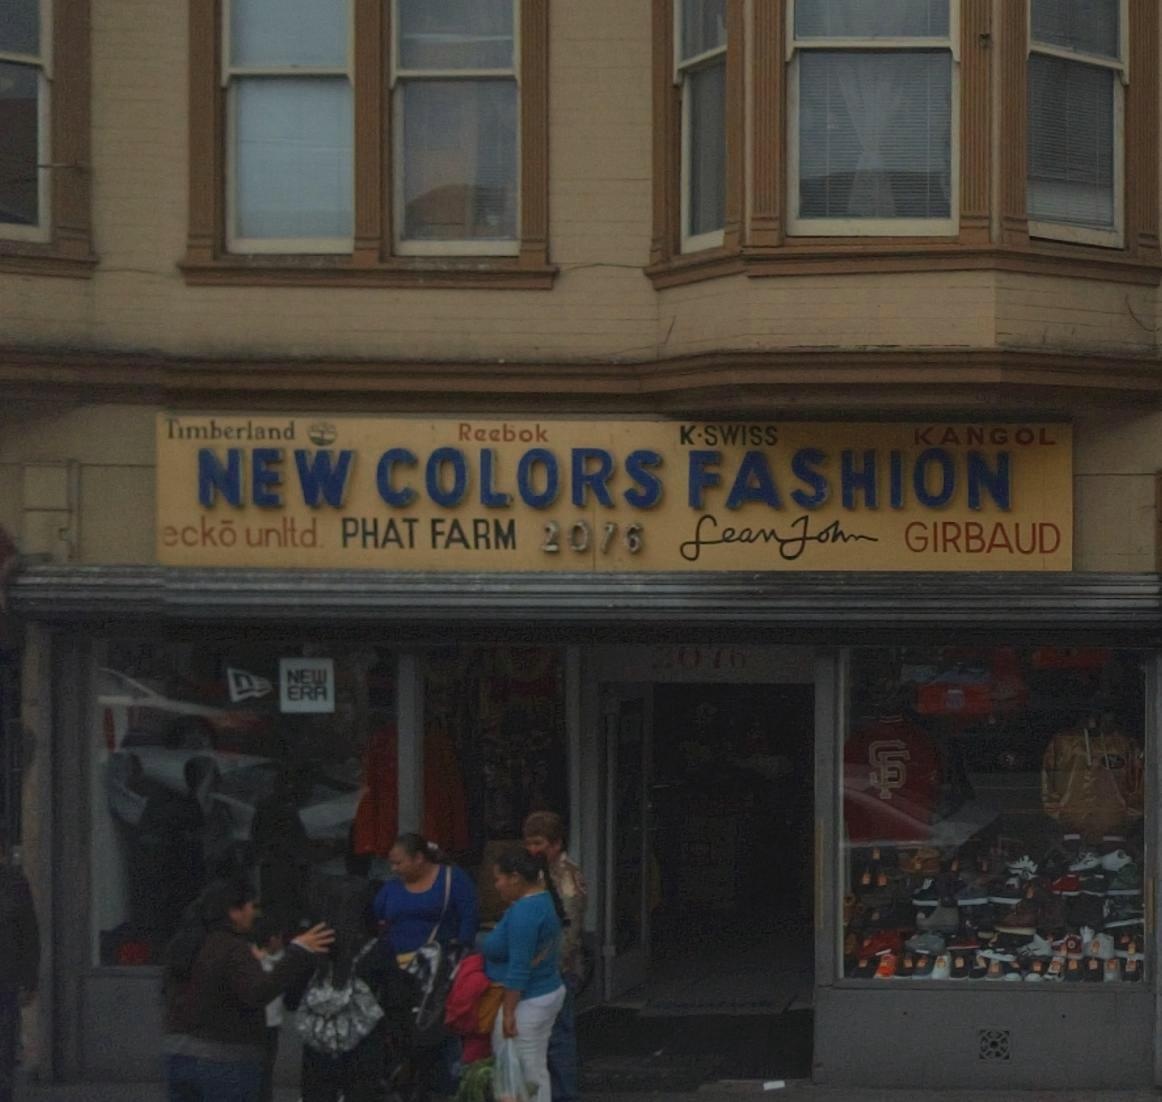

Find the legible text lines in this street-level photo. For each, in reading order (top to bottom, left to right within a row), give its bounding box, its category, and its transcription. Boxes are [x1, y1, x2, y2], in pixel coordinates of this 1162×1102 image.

[161, 416, 296, 441] None: Timberland
[457, 422, 549, 444] None: Reebok
[678, 422, 779, 448] None: K*SWISS
[912, 424, 1057, 447] None: KANGOL
[196, 446, 1013, 513] BusinessName: NEW COLORS FASHION
[160, 511, 321, 549] None: eck* unltd
[340, 514, 518, 551] None: PHAT FARM
[541, 518, 645, 556] StreetNumber: 2076
[678, 512, 881, 563] None: Sean John
[902, 519, 1062, 554] None: GIRBAUD
[652, 642, 747, 671] StreetNumber: 2076
[286, 668, 328, 684] None: NEW
[286, 684, 328, 701] None: ERA